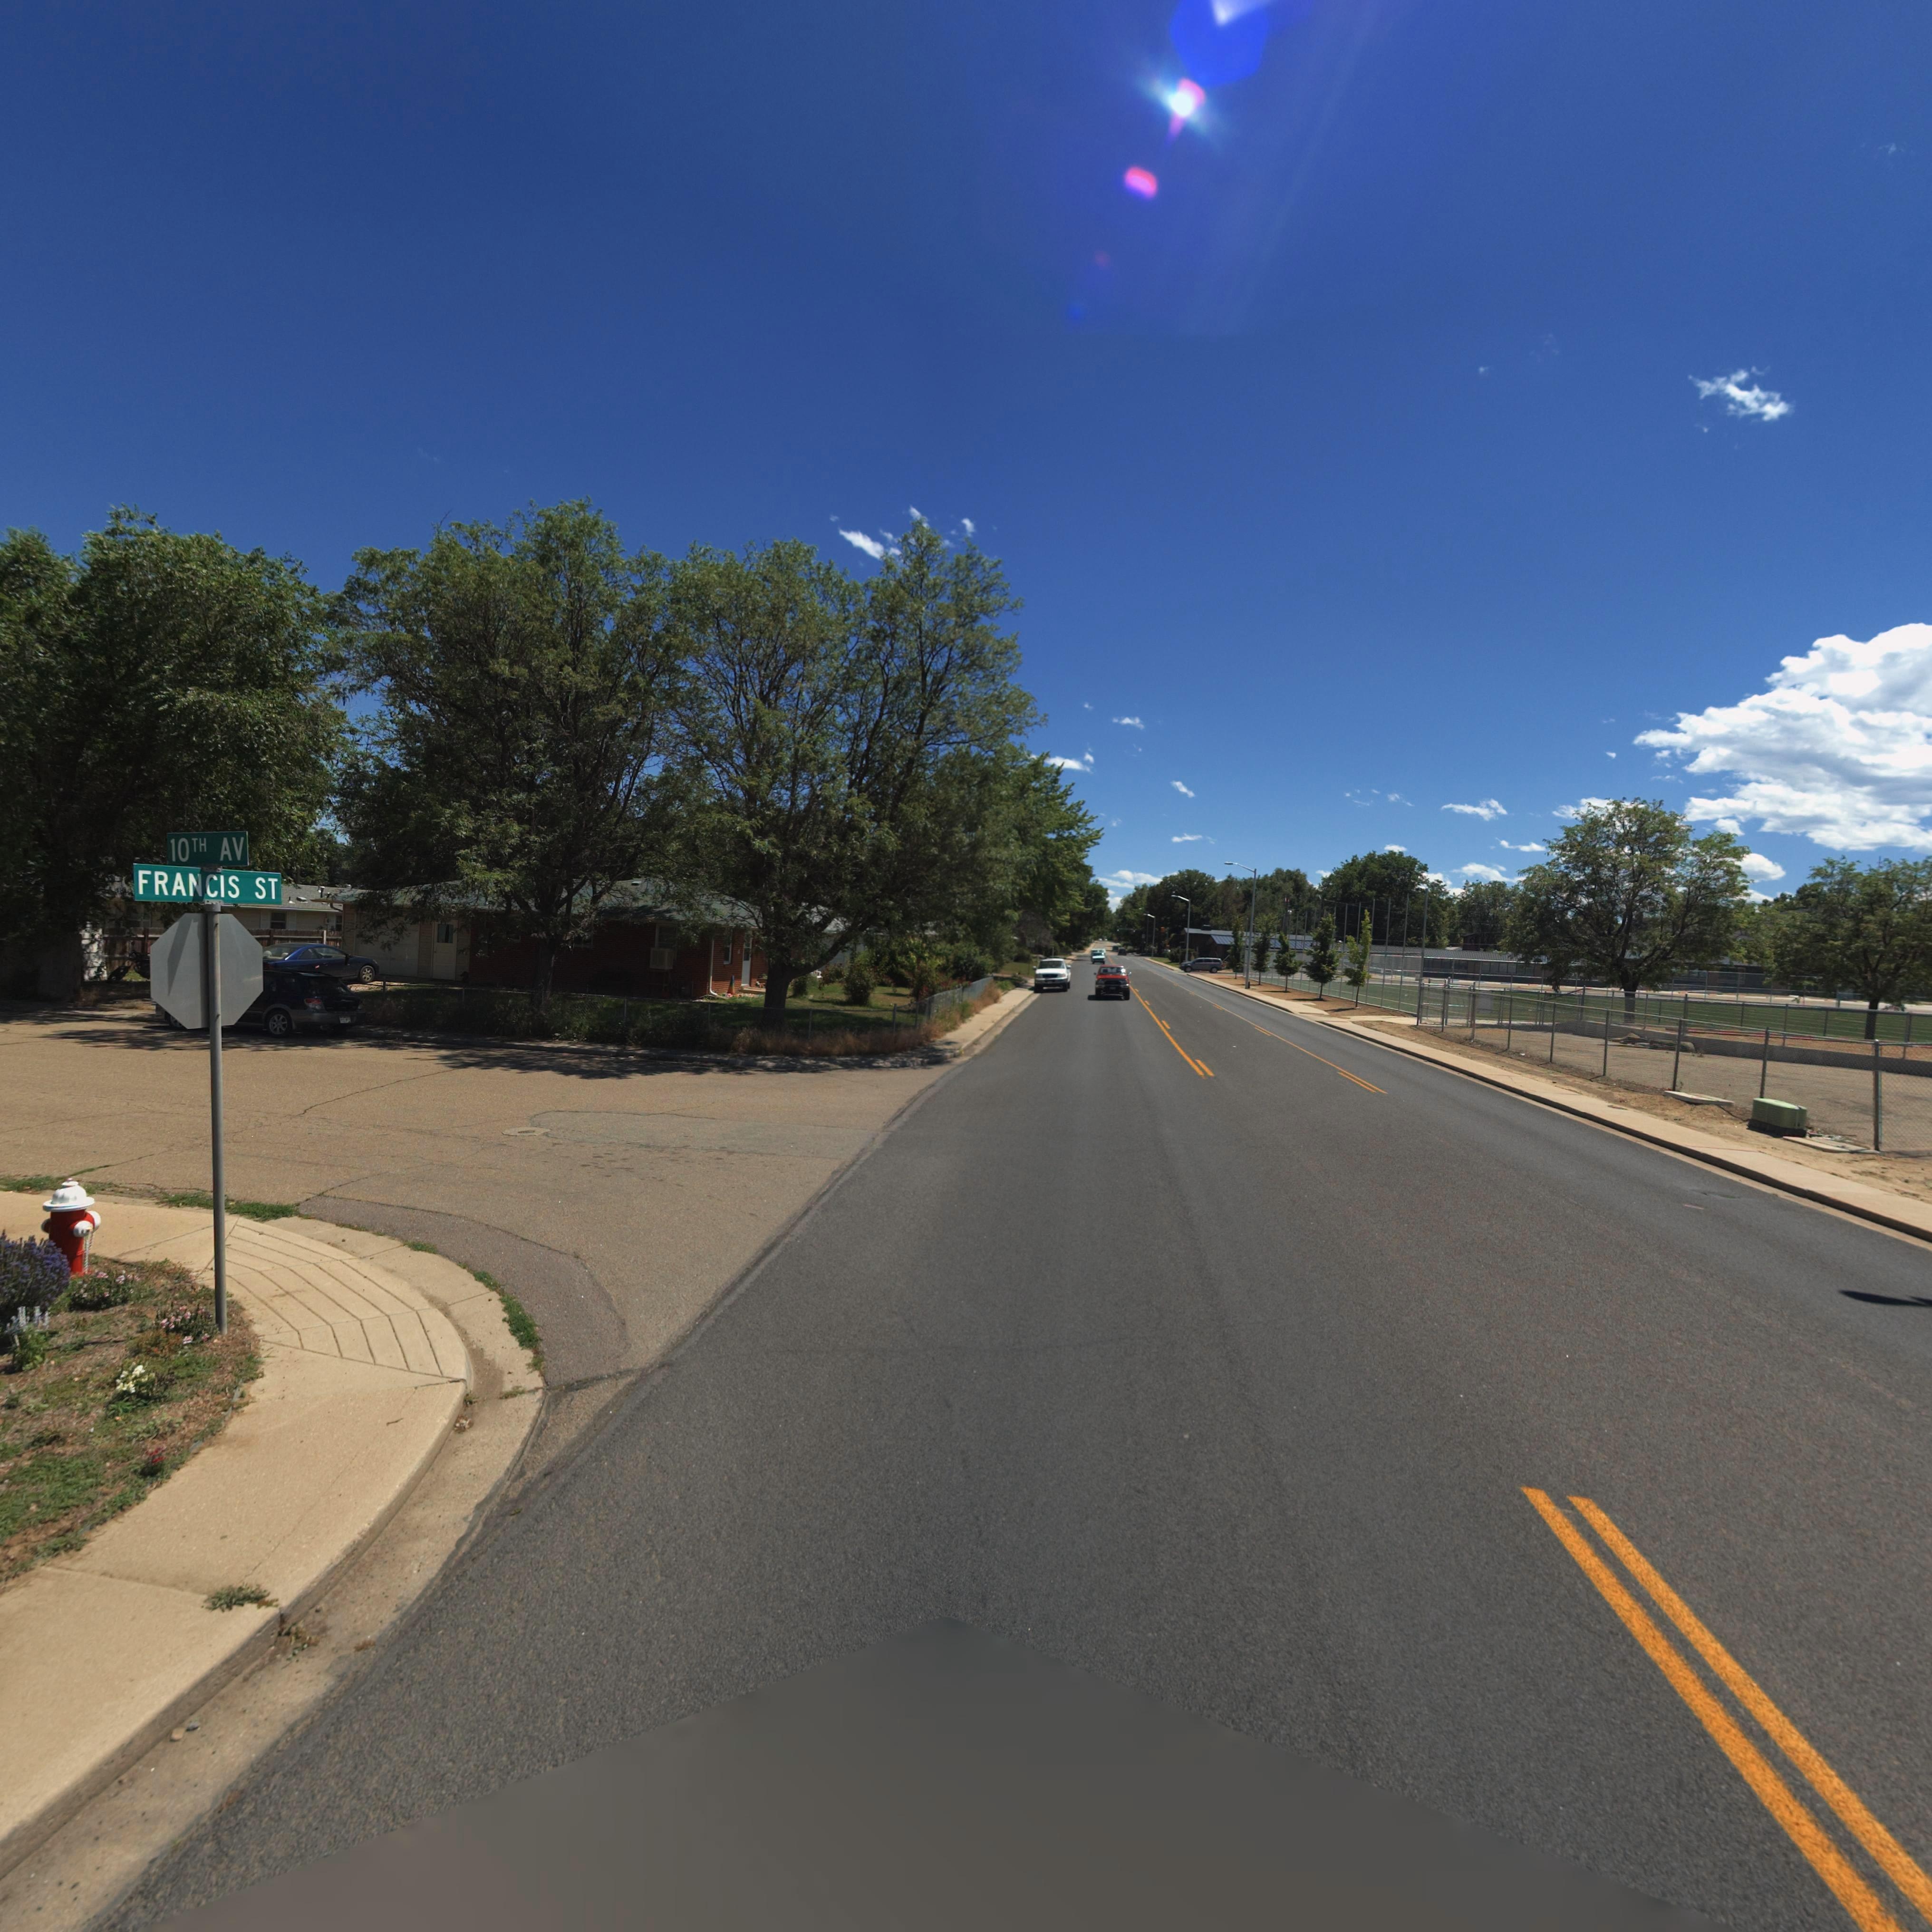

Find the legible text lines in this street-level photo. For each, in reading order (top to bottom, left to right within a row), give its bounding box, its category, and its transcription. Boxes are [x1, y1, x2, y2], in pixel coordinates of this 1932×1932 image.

[169, 836, 245, 862] StreetName: 10TH AV
[138, 869, 278, 899] StreetName: FRANCIS ST